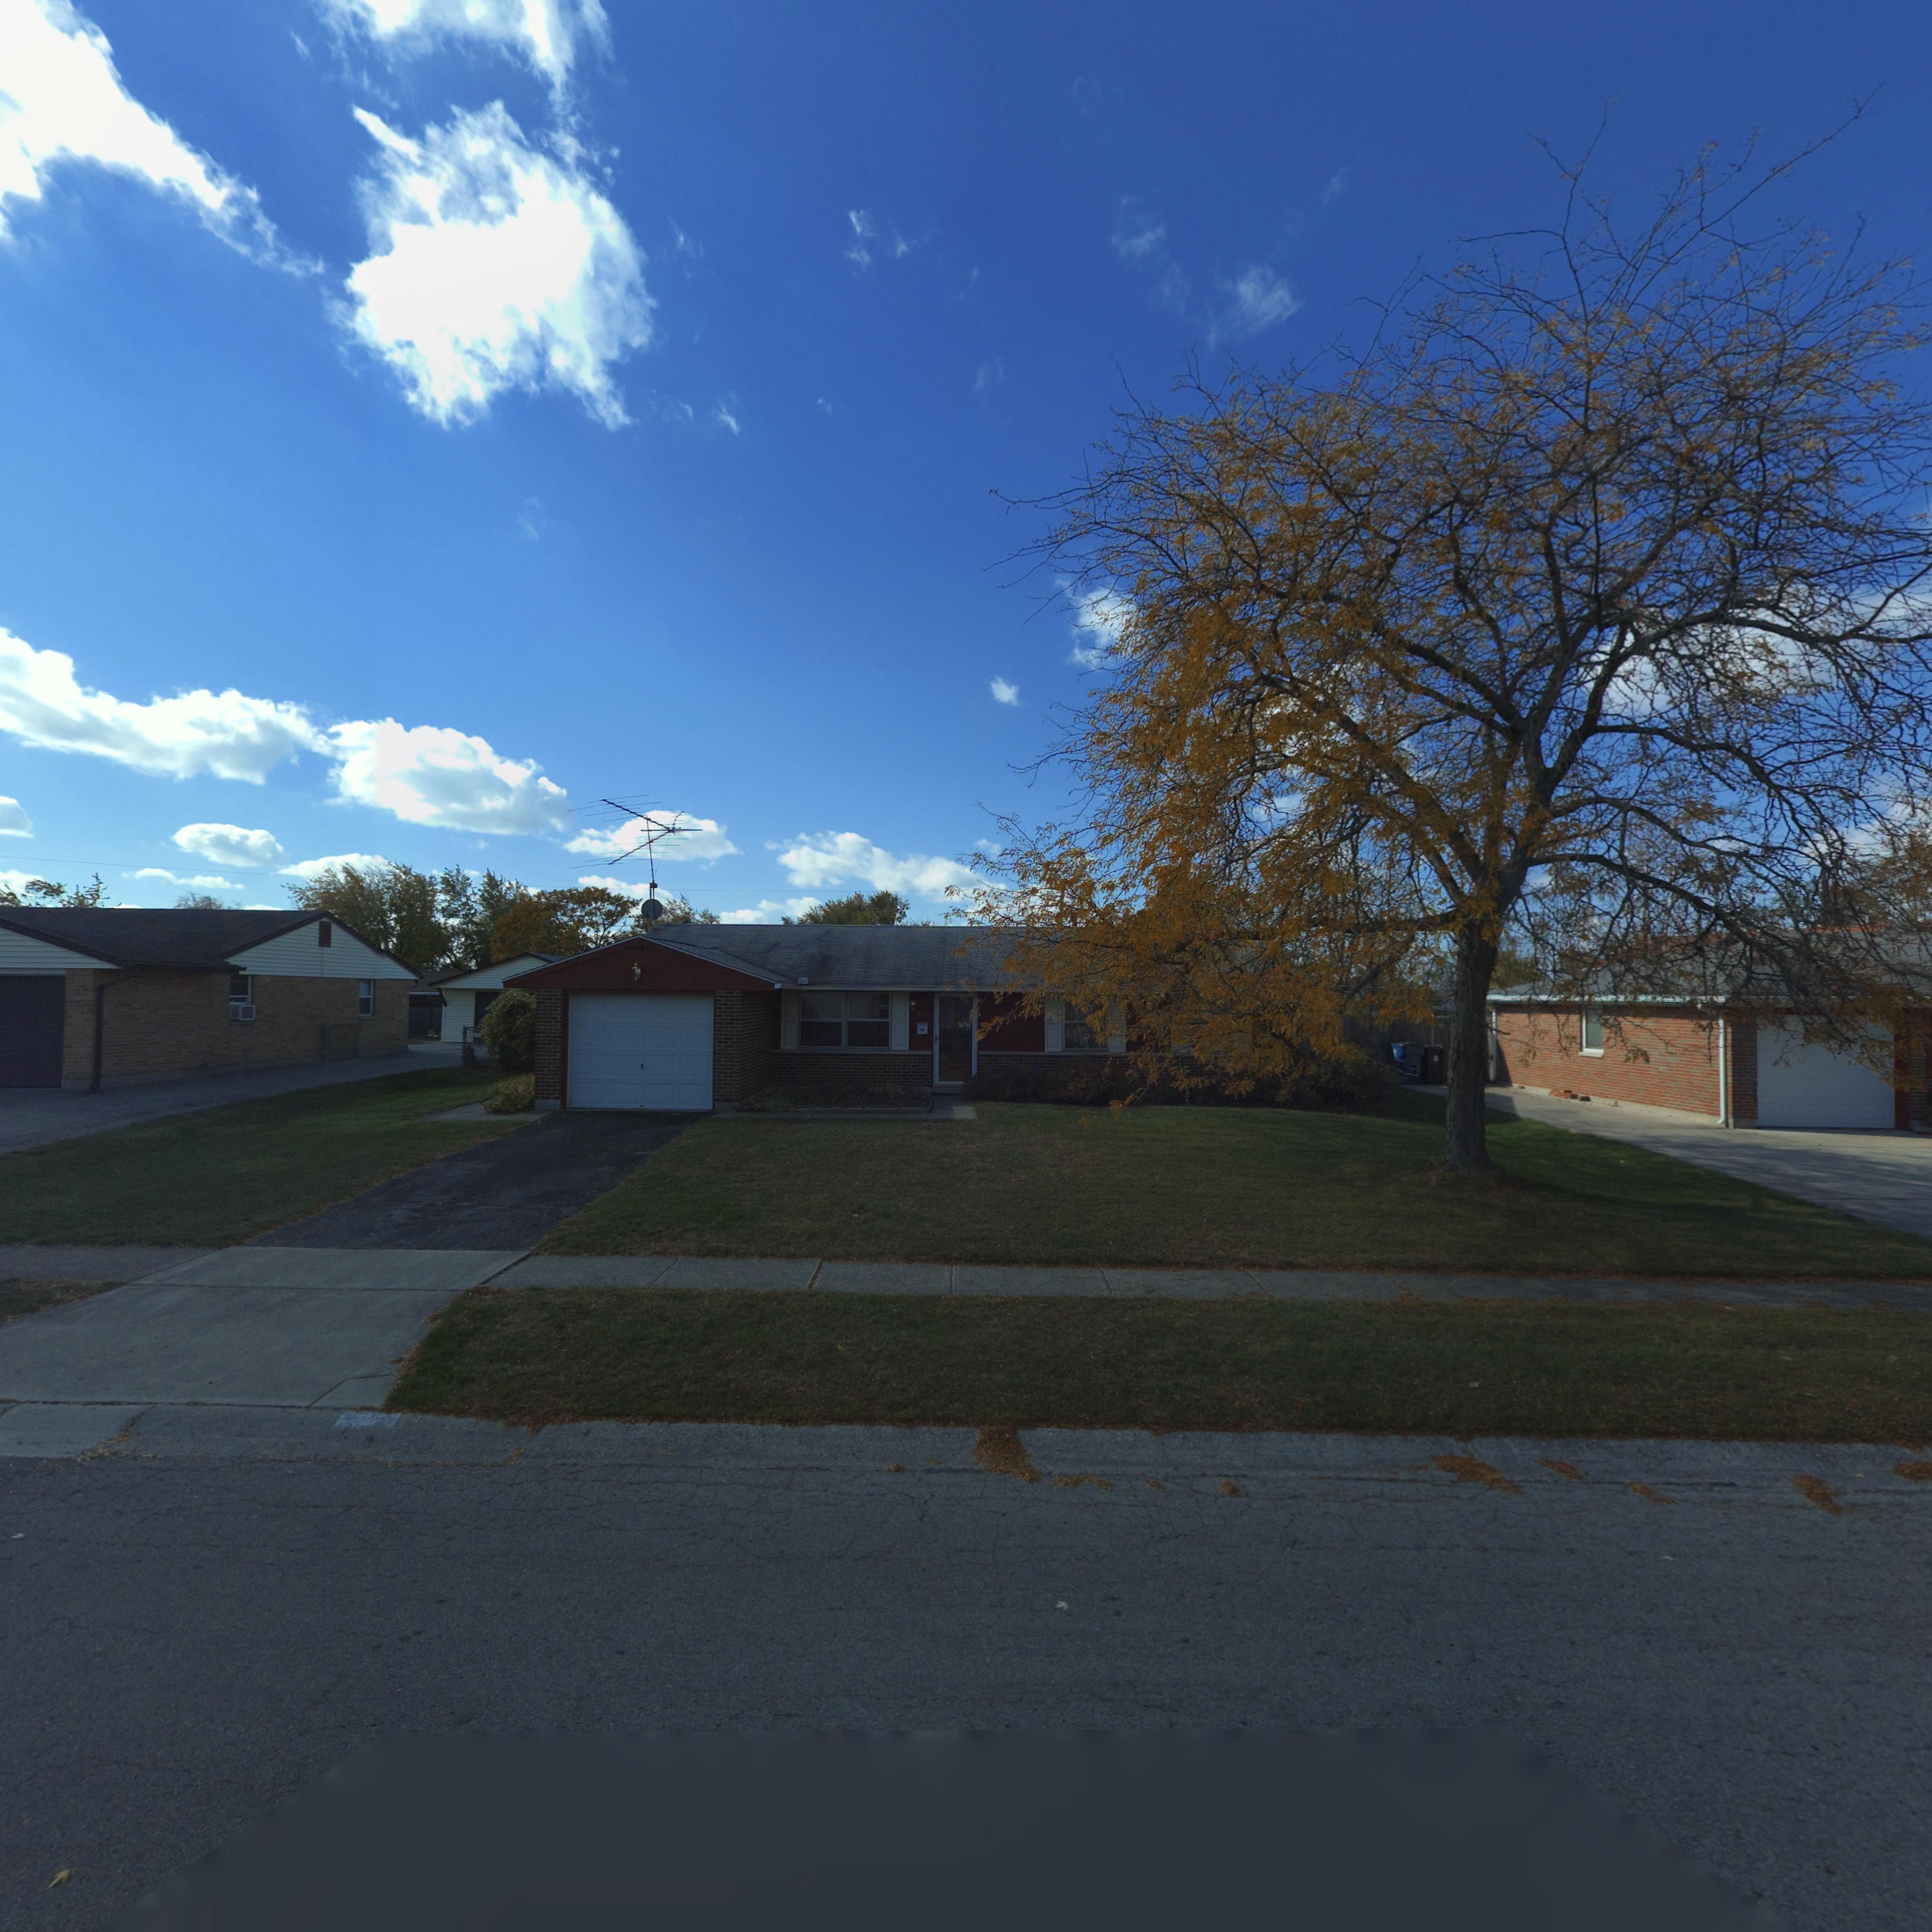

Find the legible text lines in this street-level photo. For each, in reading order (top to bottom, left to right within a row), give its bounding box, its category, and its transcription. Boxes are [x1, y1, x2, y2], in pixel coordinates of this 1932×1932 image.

[917, 1010, 932, 1020] StreetNumber: 6430
[381, 1415, 393, 1429] StreetNumber: 0